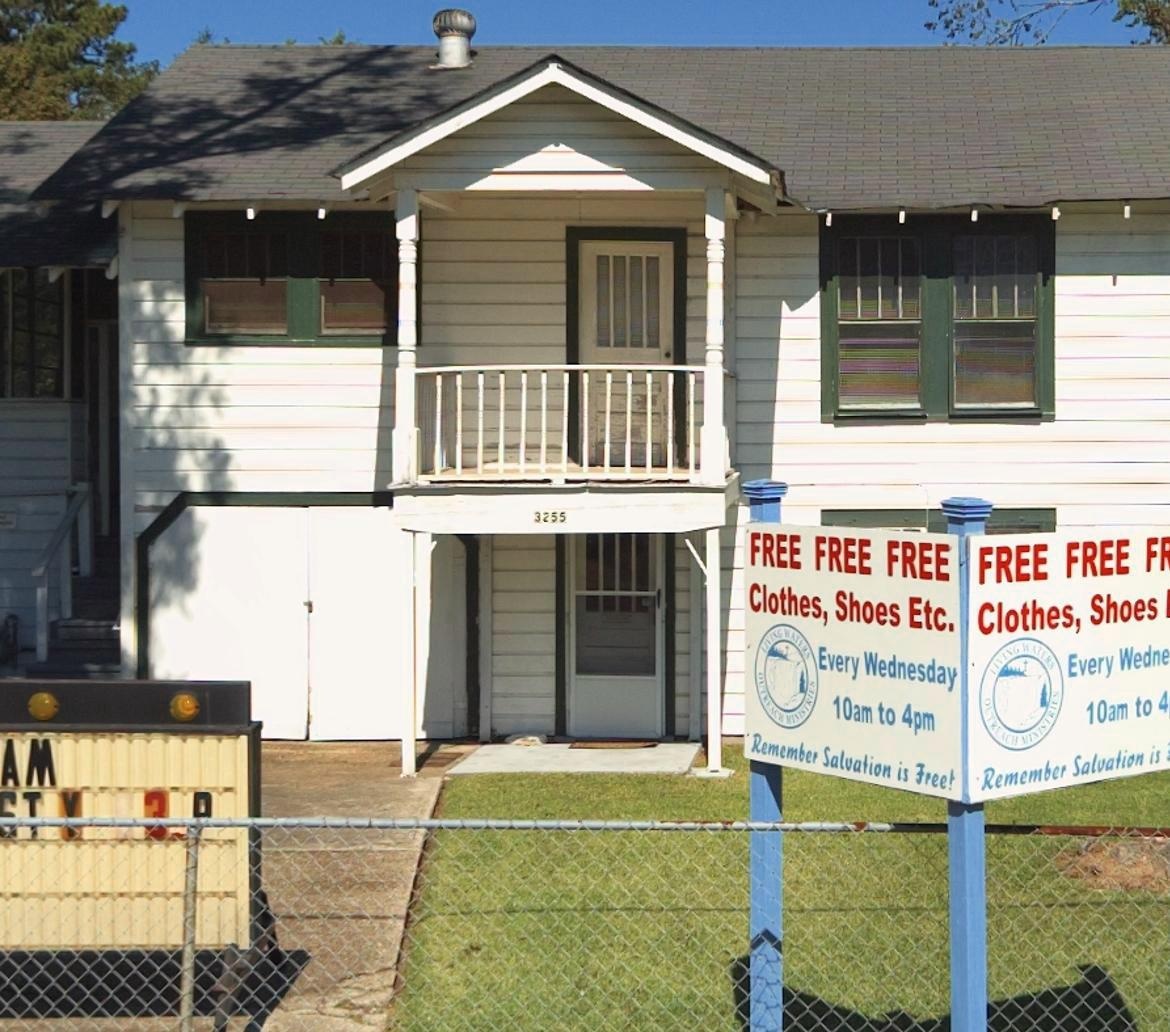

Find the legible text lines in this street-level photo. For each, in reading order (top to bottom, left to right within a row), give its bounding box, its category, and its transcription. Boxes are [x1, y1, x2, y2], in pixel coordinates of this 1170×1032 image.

[534, 510, 567, 524] StreetNumber: 3255
[749, 530, 953, 584] None: FREE FREE FREE
[977, 536, 1159, 587] None: FREE FREE F
[747, 579, 948, 635] None: Clothes, Shoes Etc
[977, 591, 1161, 639] None: Clothes, Shoes
[759, 628, 813, 663] None: LIVING WATERS
[816, 643, 960, 694] None: Every Wednesday
[985, 641, 1057, 677] None: LIVING WATERS
[1067, 640, 1163, 681] None: Every Wedn
[756, 671, 816, 727] None: OUTREACH MINISTRIES
[832, 693, 938, 737] None: 10am to 4pm
[982, 690, 1061, 747] None: OUTREACH MINISTRIES
[1084, 687, 1168, 728] None: 10am to 4
[0, 735, 59, 788] None: AM
[749, 730, 952, 793] None: Remember Salvation is Free
[979, 744, 1162, 793] None: Remember Salvation is